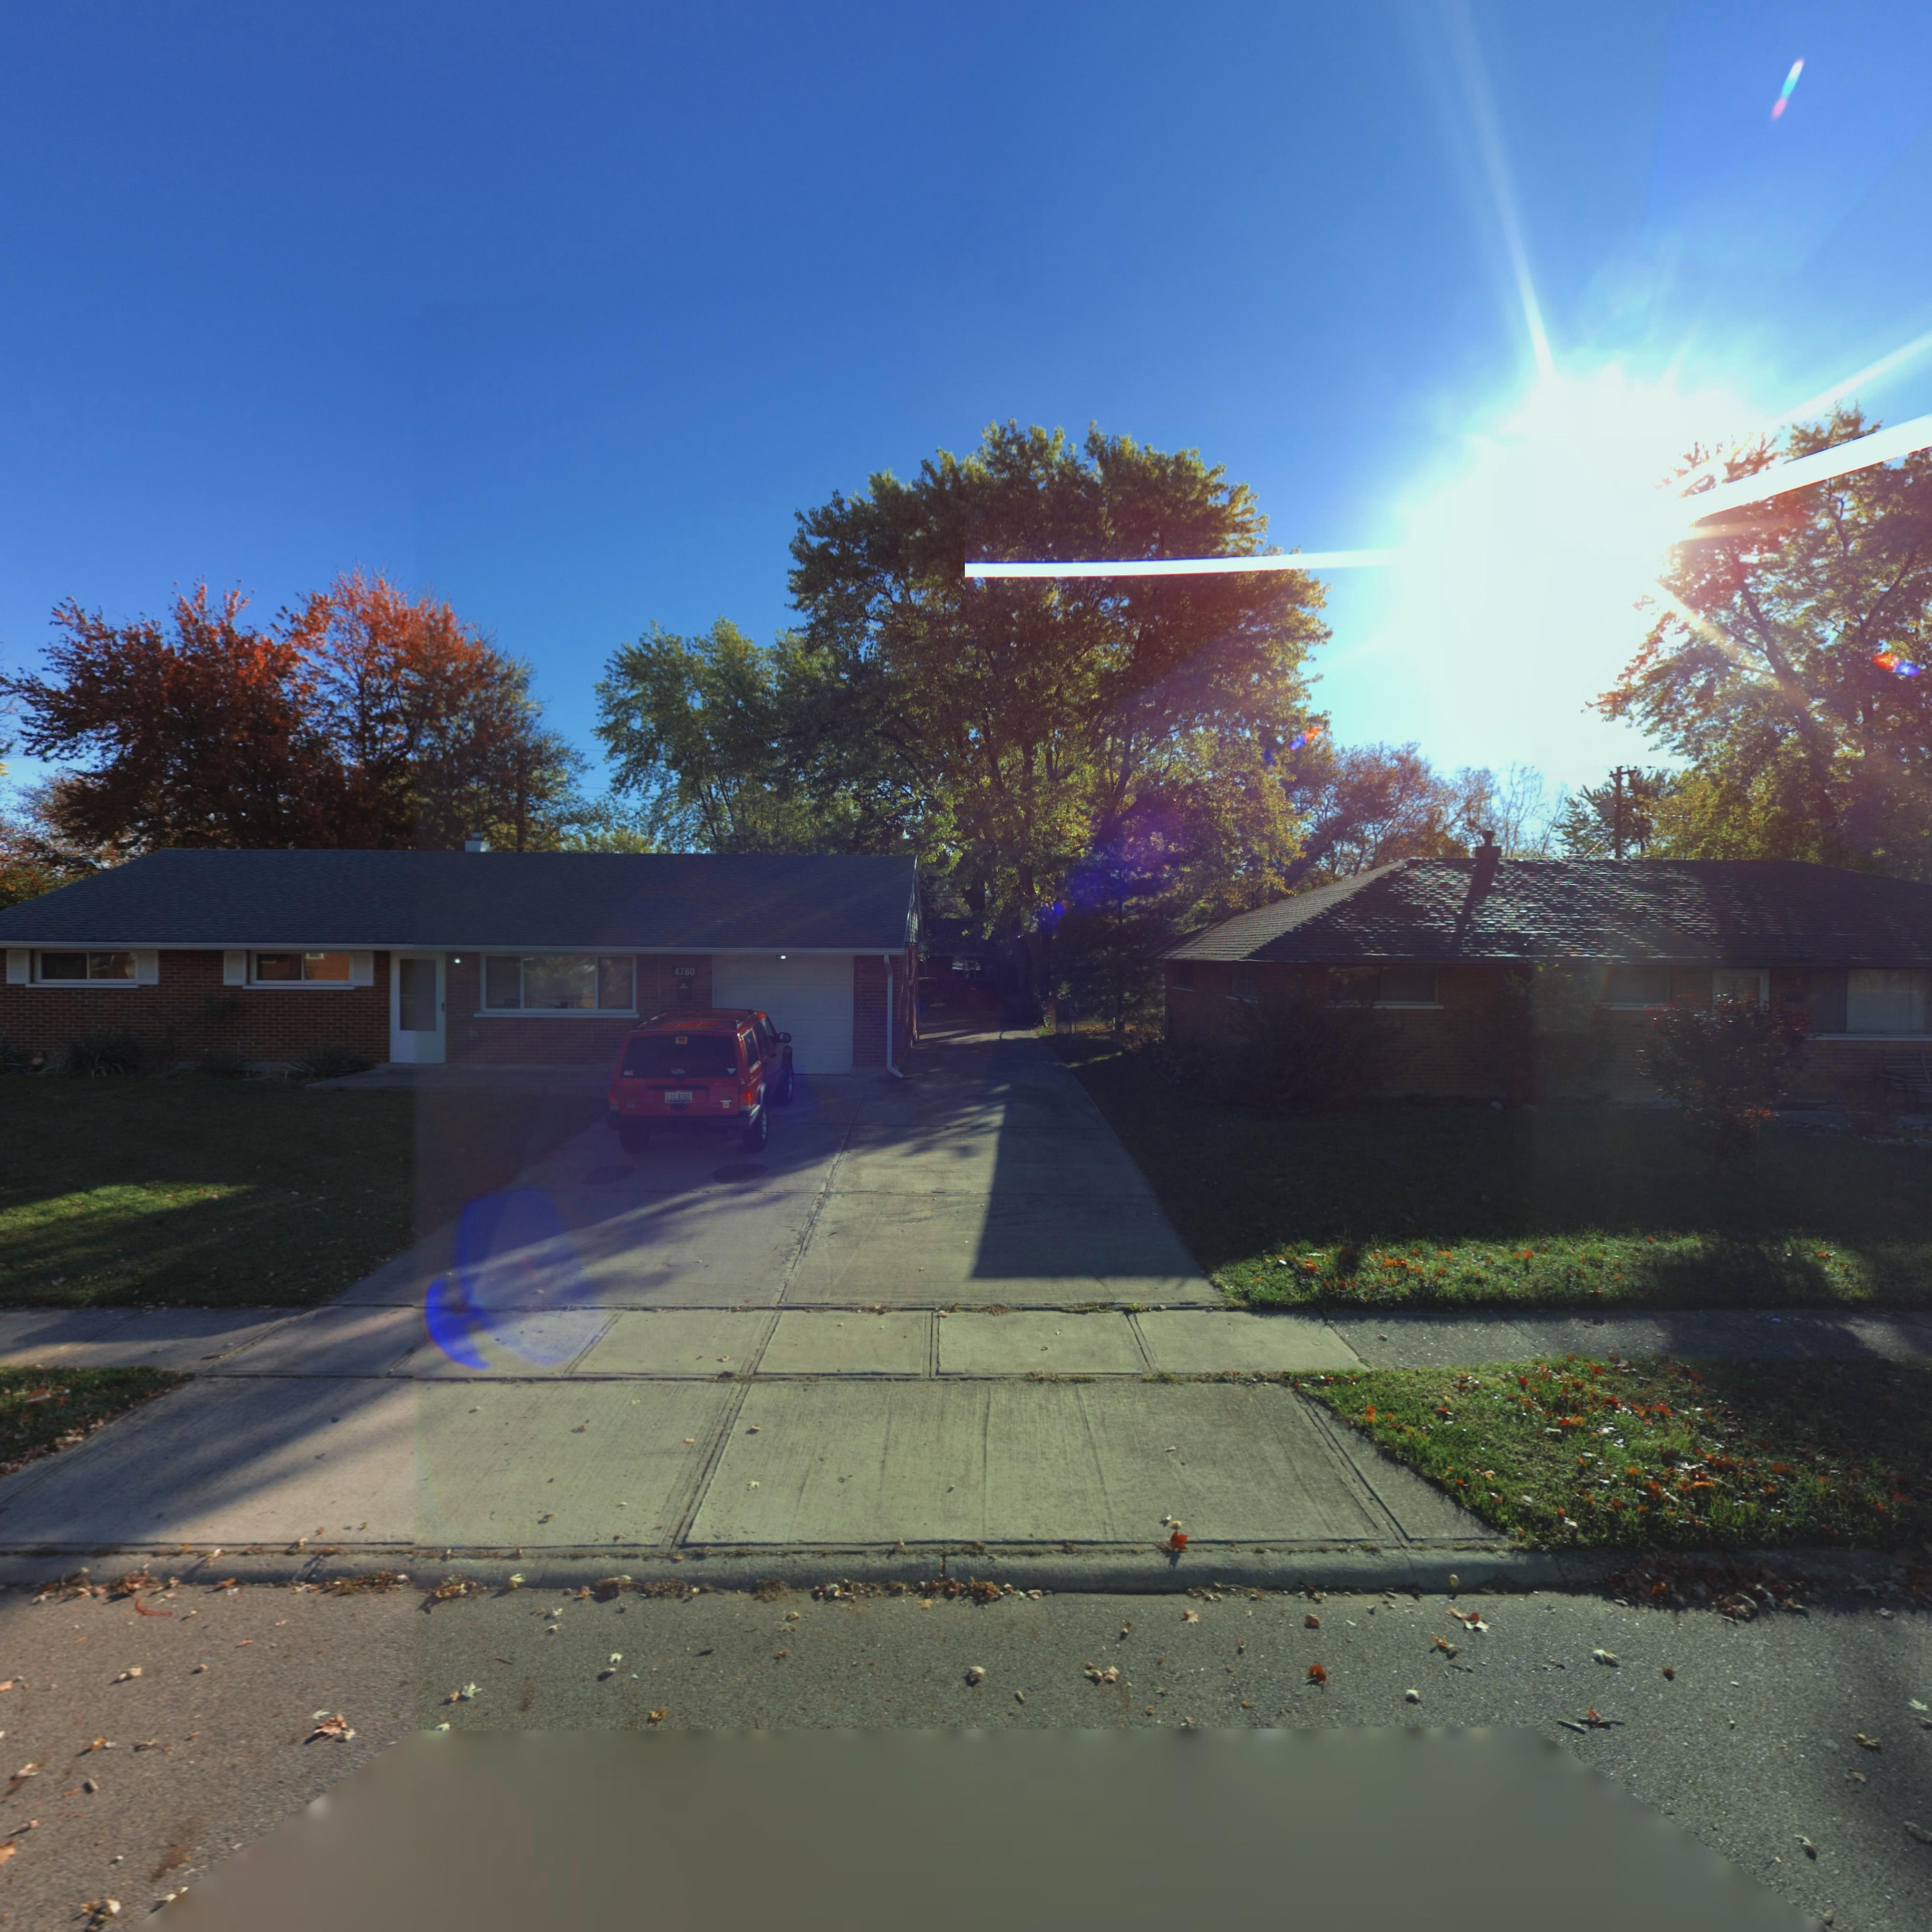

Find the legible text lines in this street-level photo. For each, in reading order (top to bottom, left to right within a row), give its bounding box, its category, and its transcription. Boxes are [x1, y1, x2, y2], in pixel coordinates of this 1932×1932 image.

[674, 967, 696, 976] StreetNumber: 4780